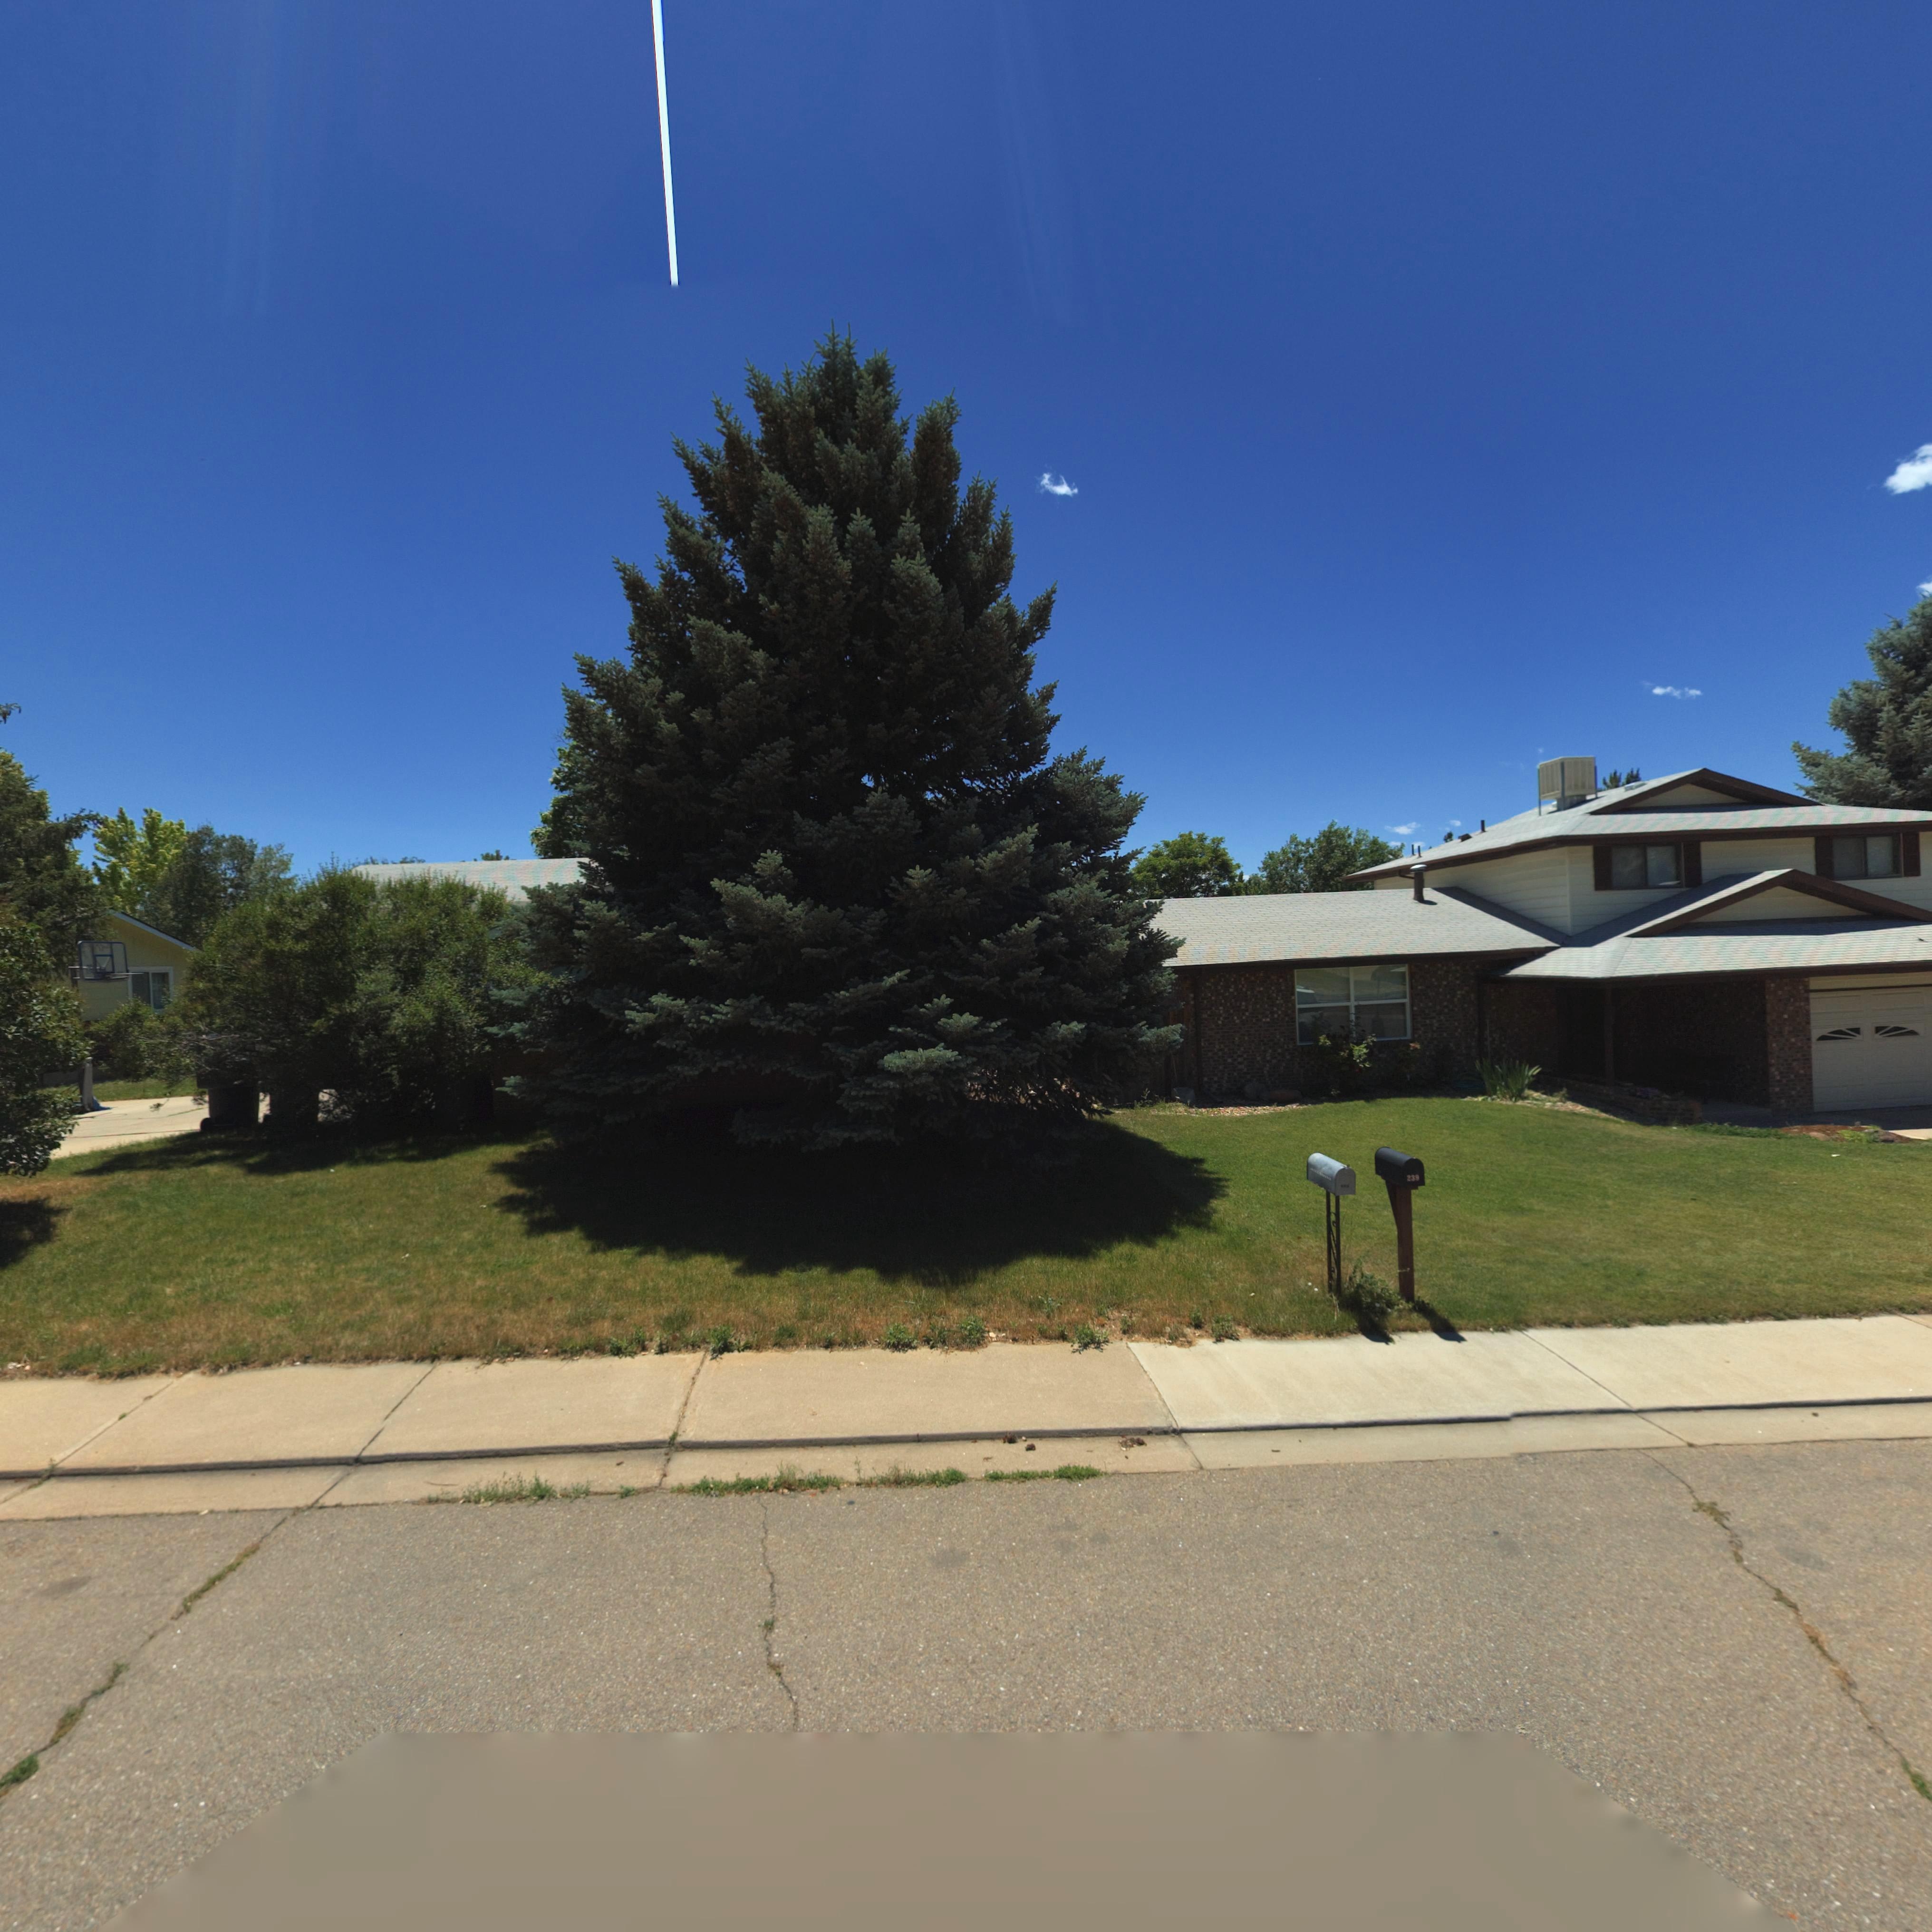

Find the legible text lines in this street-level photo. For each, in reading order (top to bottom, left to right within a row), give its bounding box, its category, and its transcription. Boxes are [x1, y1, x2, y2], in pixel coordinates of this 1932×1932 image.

[1407, 1174, 1420, 1181] StreetNumber: 239